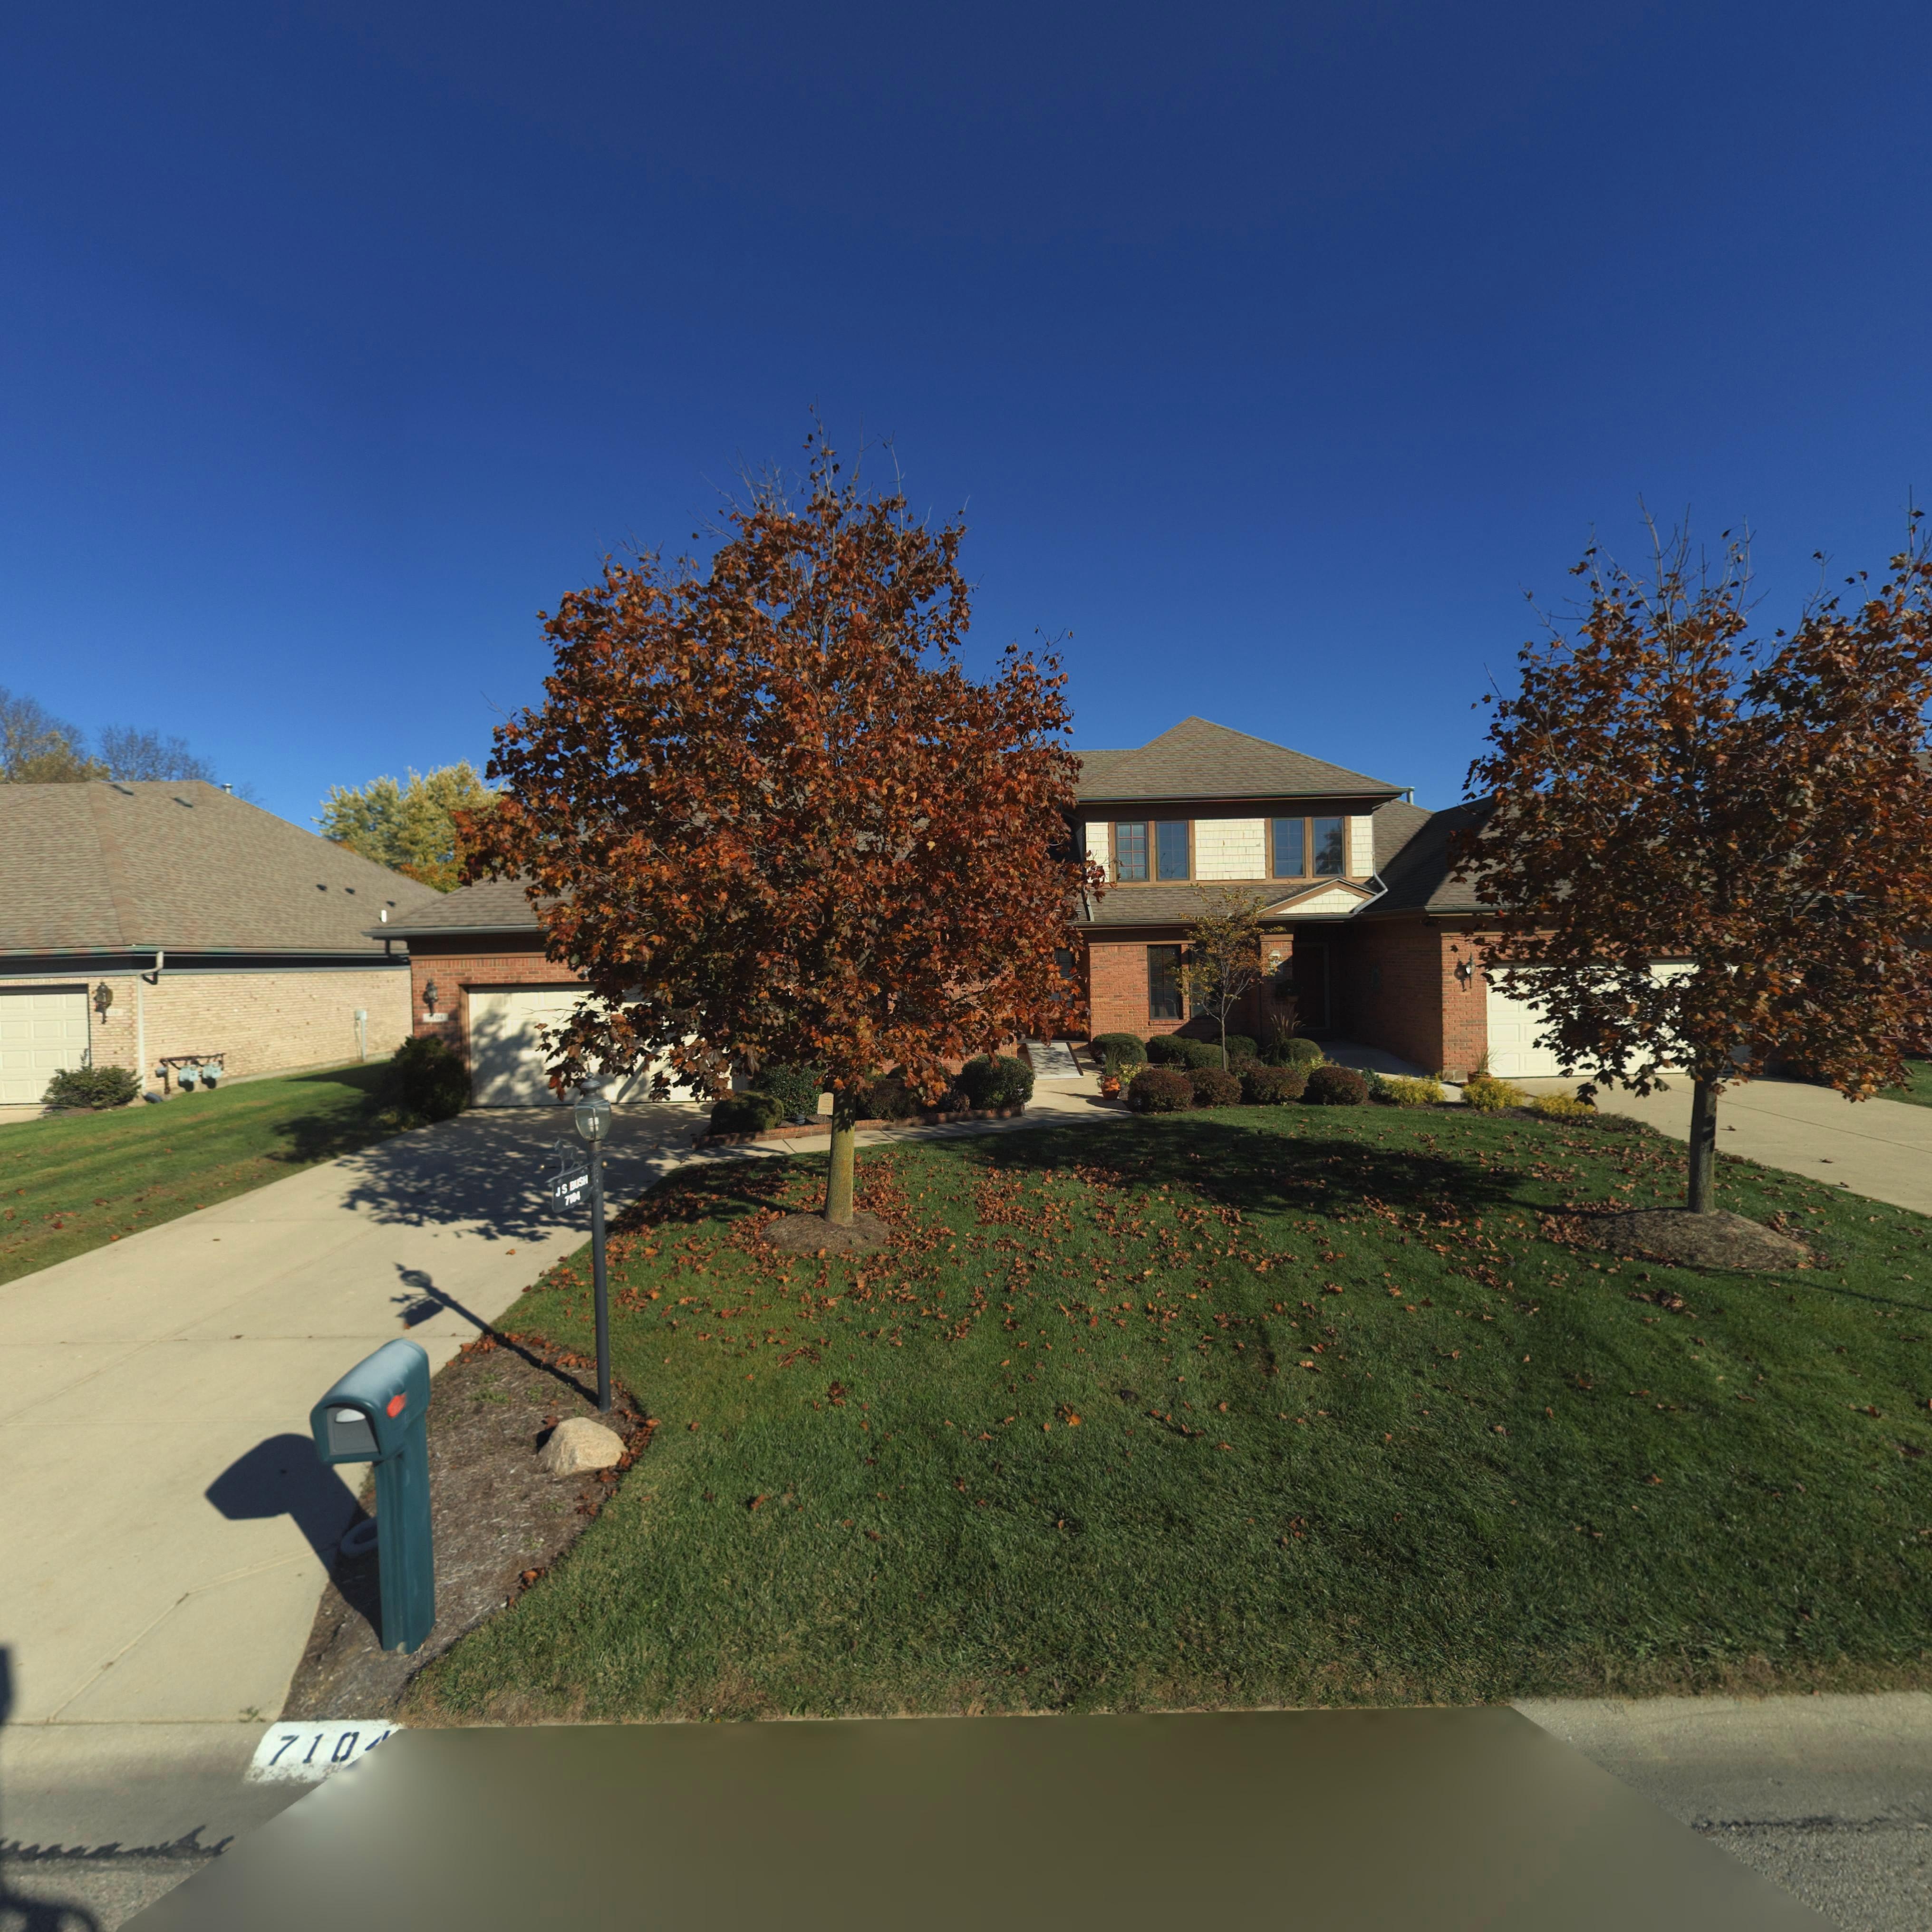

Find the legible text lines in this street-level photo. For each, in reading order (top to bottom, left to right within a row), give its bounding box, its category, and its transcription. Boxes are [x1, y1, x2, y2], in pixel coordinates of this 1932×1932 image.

[428, 1014, 444, 1020] StreetNumber: 7104
[564, 1189, 581, 1207] StreetNumber: 7104
[266, 1730, 361, 1768] StreetNumber: 710